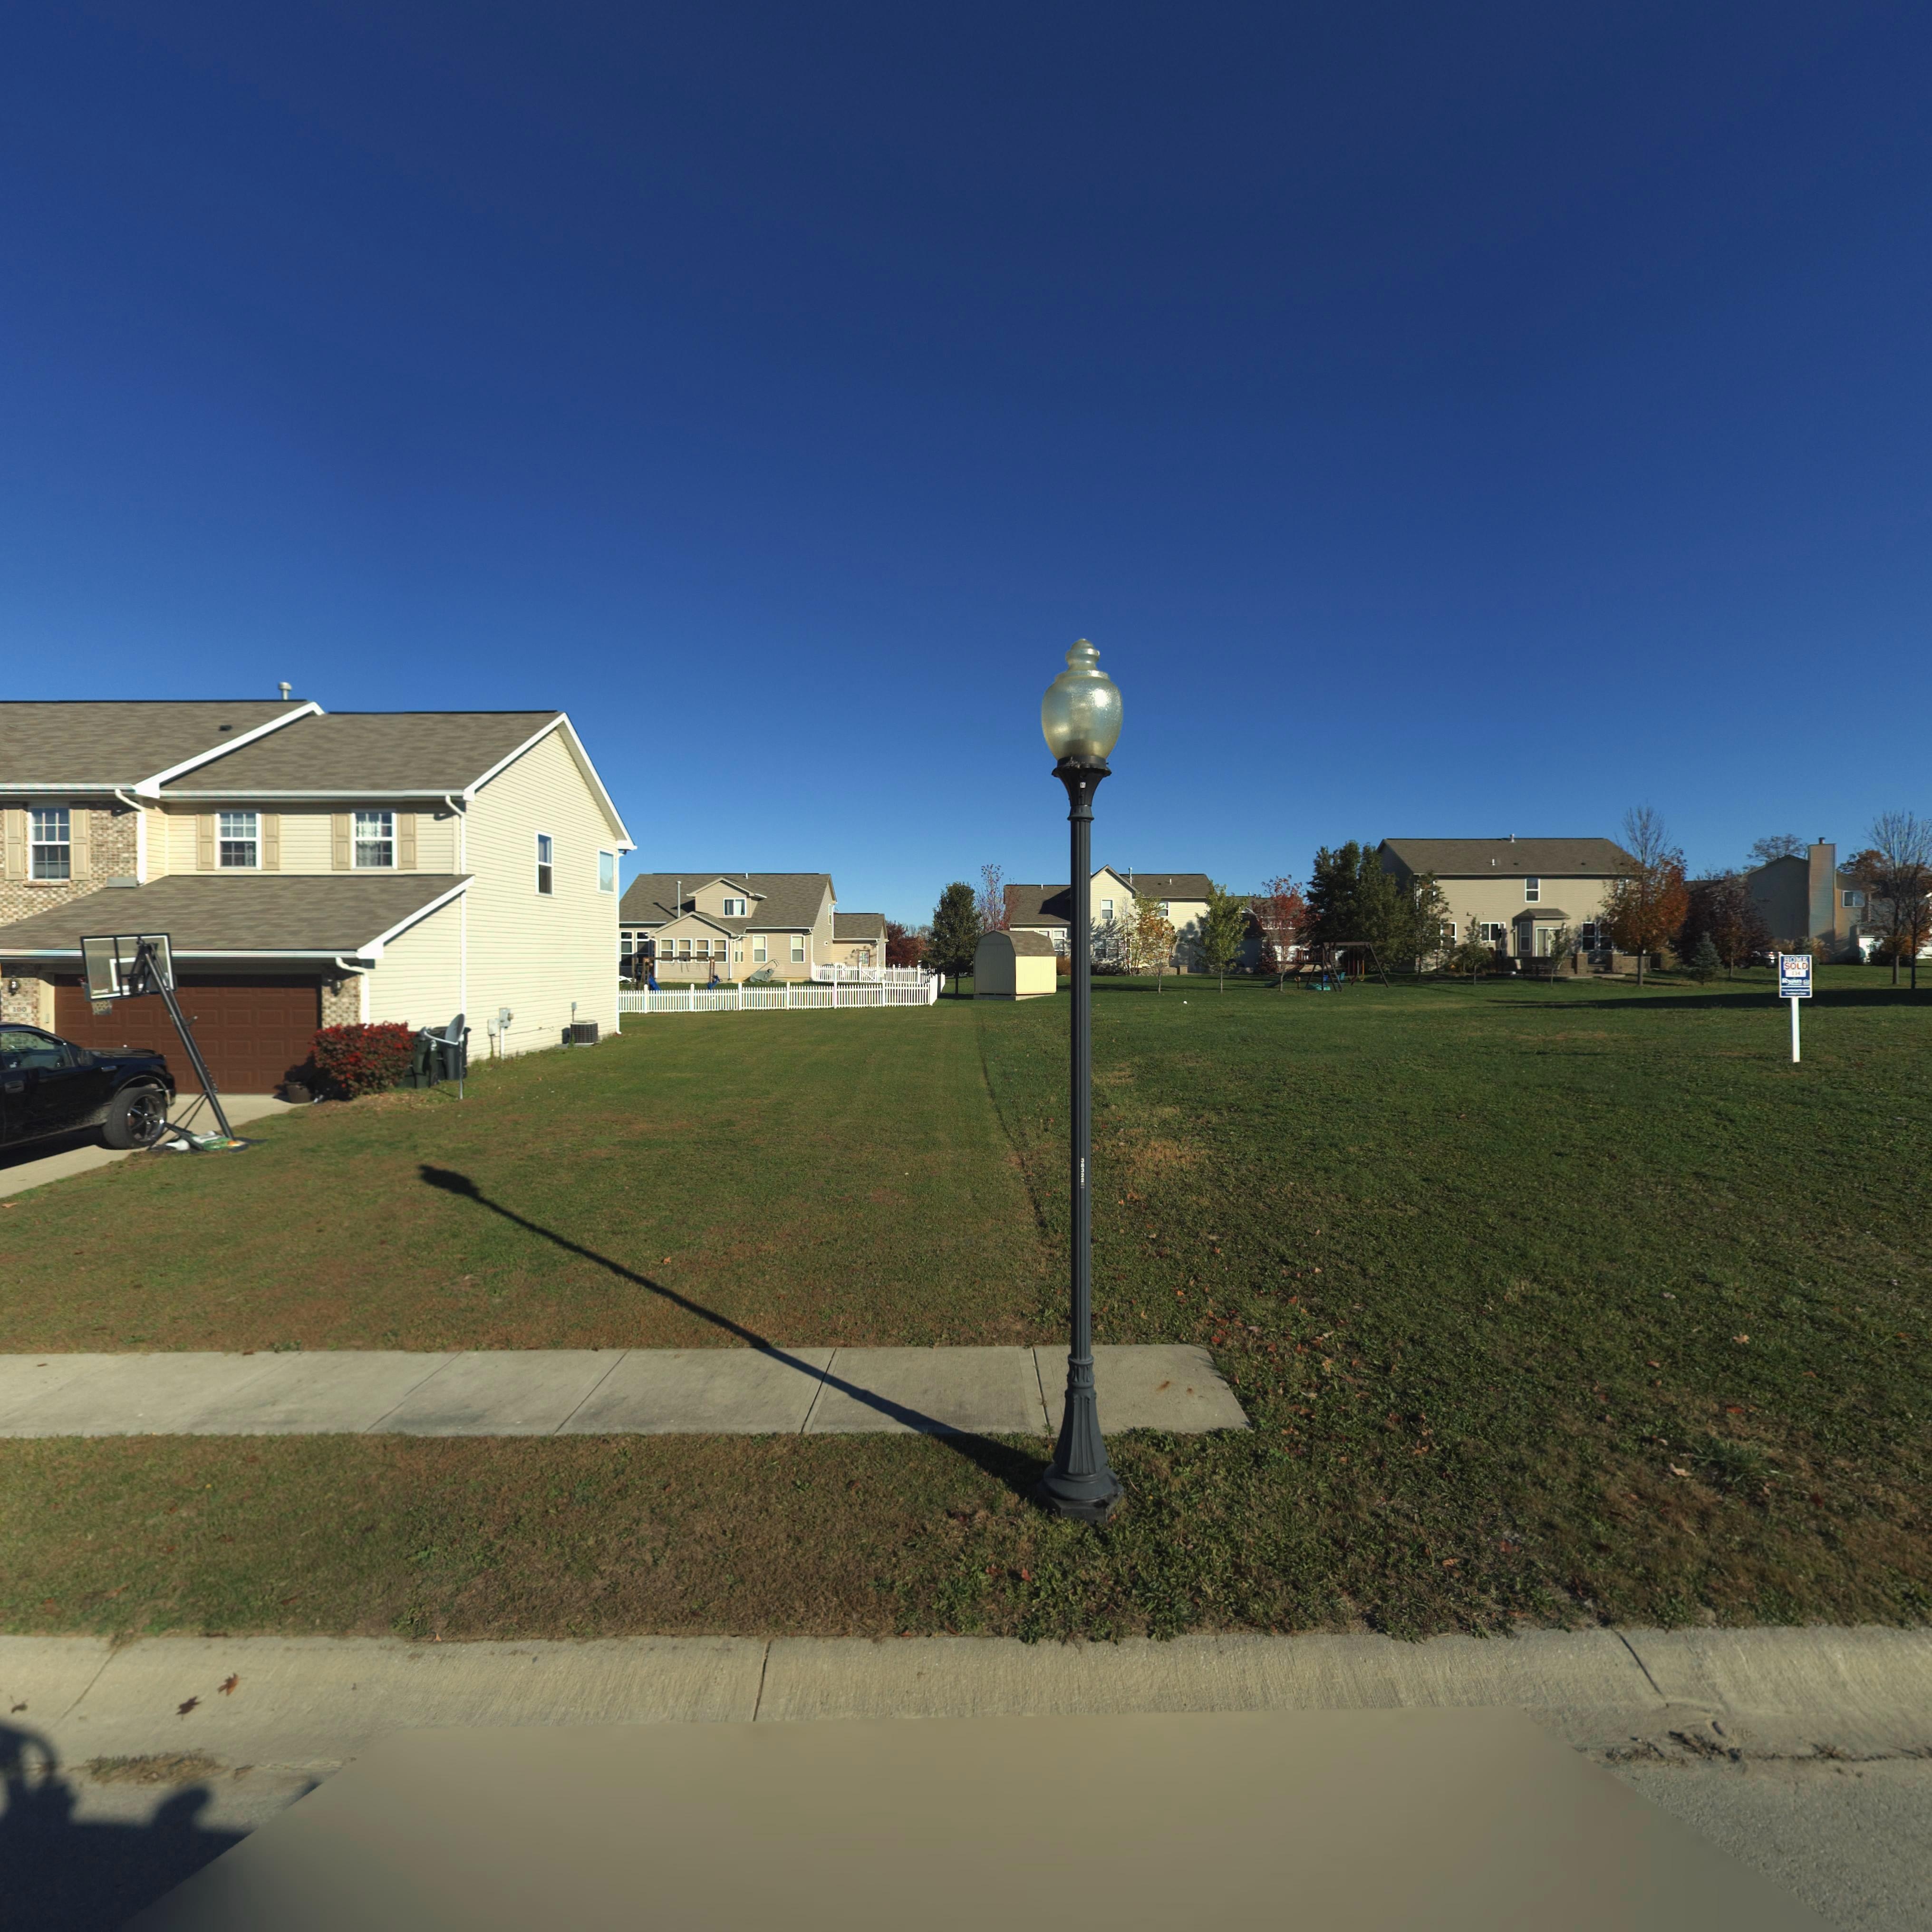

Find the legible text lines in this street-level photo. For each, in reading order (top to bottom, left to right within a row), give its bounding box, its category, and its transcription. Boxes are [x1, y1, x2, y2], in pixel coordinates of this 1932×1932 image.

[1783, 956, 1808, 962] None: HOME
[1783, 962, 1807, 969] None: SOLD
[11, 1006, 28, 1013] StreetNumber: 100